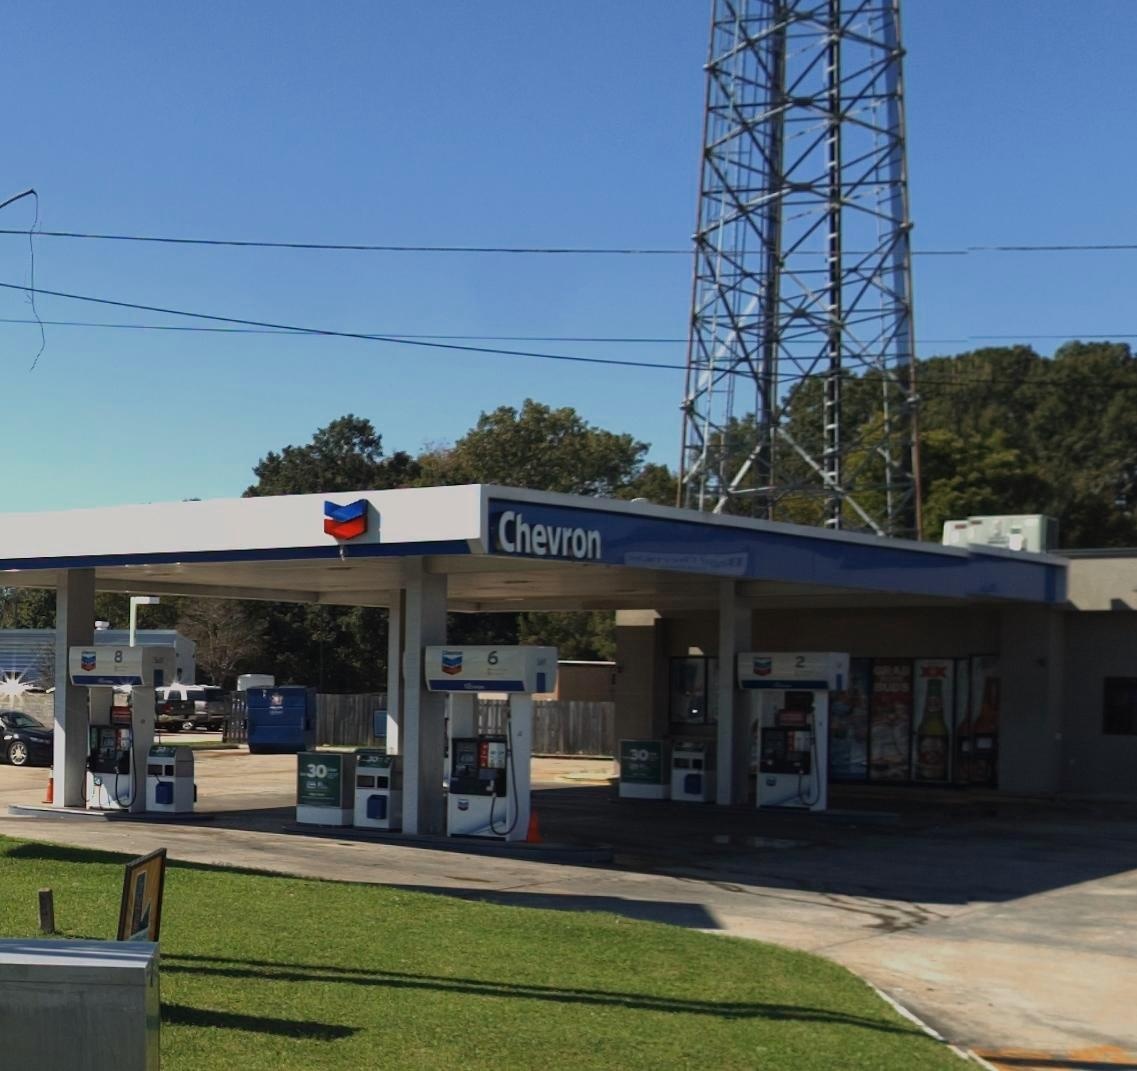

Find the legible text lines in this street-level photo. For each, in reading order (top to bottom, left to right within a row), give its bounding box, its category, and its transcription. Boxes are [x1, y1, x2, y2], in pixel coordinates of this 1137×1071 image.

[497, 505, 604, 562] BusinessName: Chevron
[112, 648, 126, 666] None: 8
[483, 647, 502, 670] None: 6
[793, 652, 808, 671] None: 2
[916, 663, 951, 681] None: XX
[628, 746, 652, 764] None: 30
[305, 761, 329, 781] None: 30
[129, 866, 152, 939] None: L